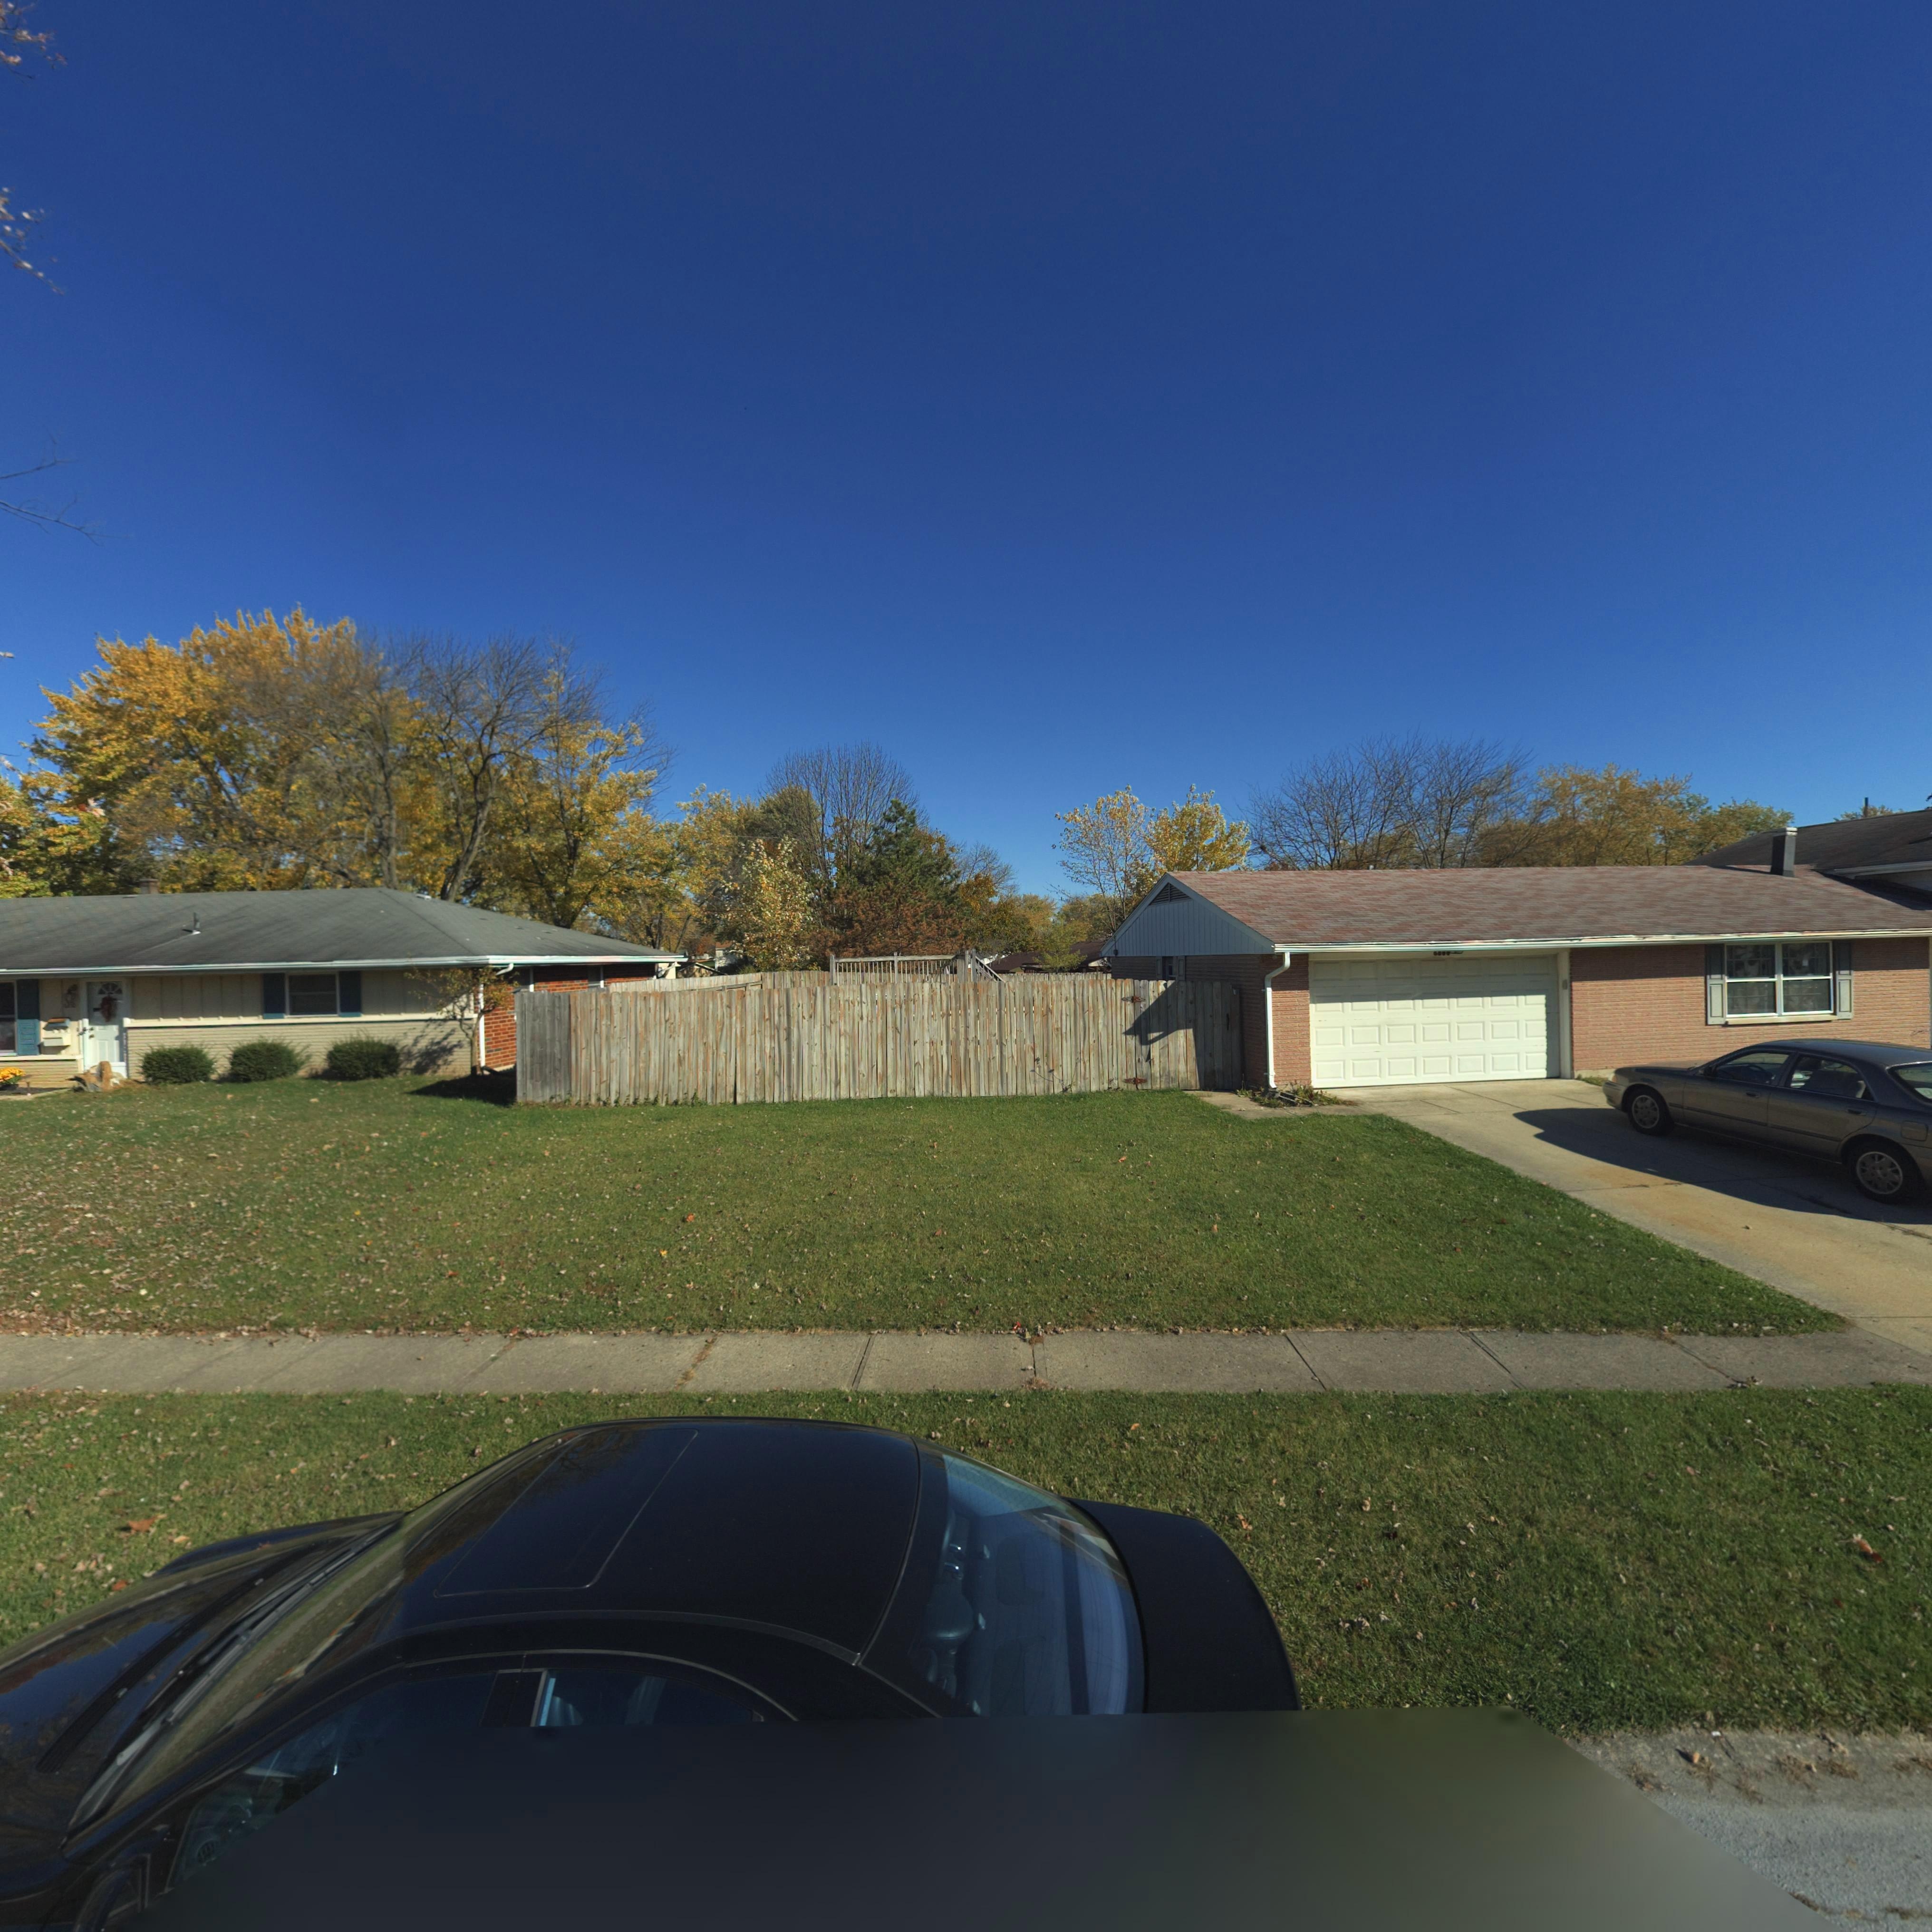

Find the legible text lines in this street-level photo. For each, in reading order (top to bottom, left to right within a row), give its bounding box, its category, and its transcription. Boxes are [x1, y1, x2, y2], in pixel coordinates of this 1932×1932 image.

[1433, 951, 1442, 956] StreetNumber: 68
[63, 1003, 76, 1008] StreetNumber: ***0